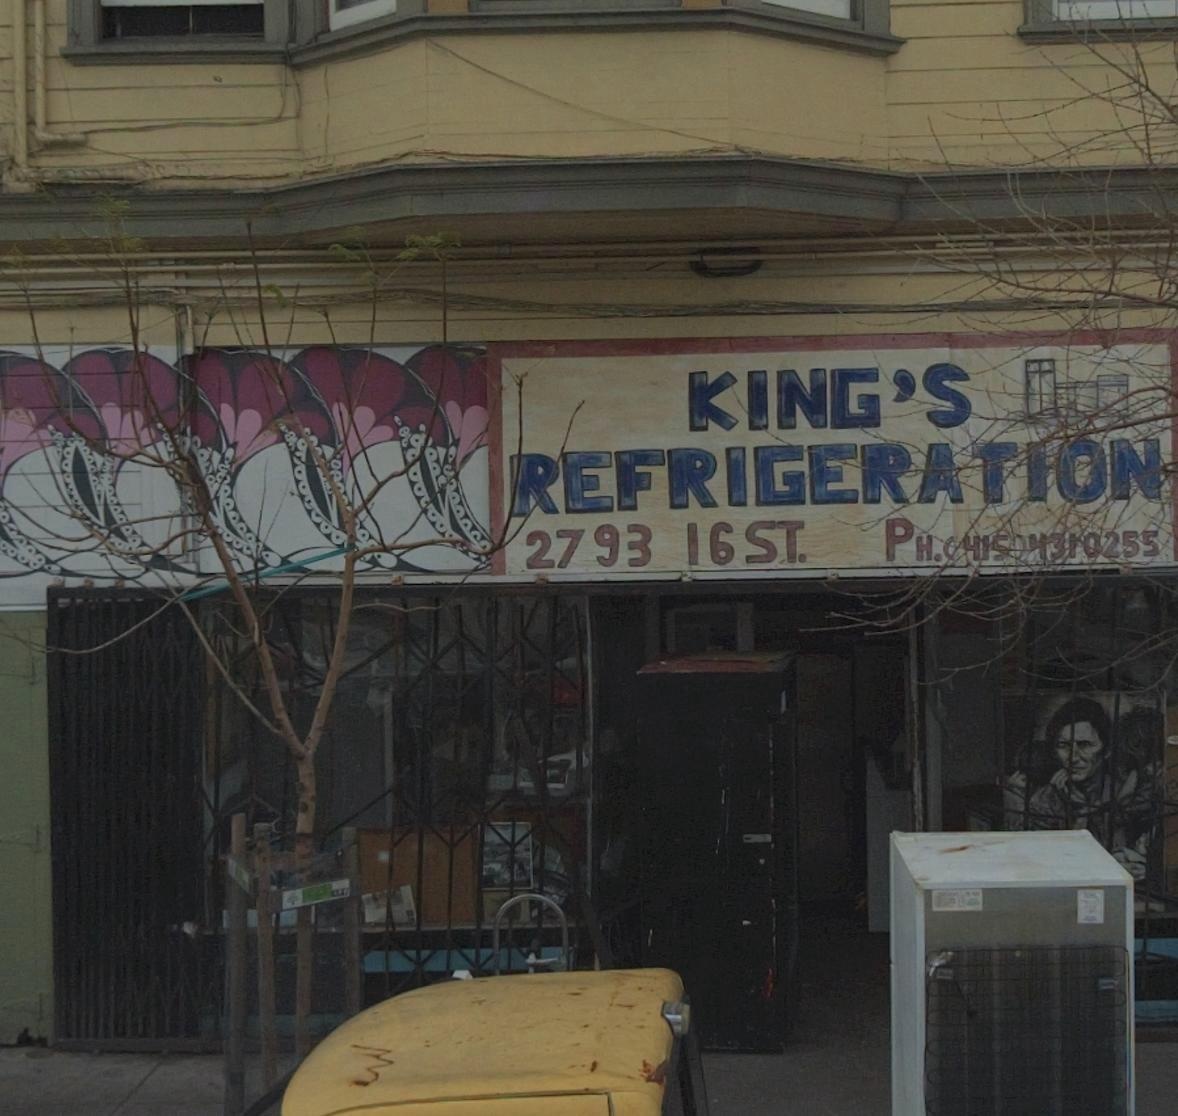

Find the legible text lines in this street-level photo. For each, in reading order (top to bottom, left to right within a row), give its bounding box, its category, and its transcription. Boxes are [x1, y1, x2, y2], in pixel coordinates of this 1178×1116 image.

[685, 360, 976, 433] BusinessName: KING'S
[509, 433, 1166, 517] BusinessName: REFRIGERATION
[524, 519, 654, 572] StreetNumber: 2793
[685, 519, 808, 567] StreetName: 16 ST
[881, 516, 1164, 565] None: PH.*415******55